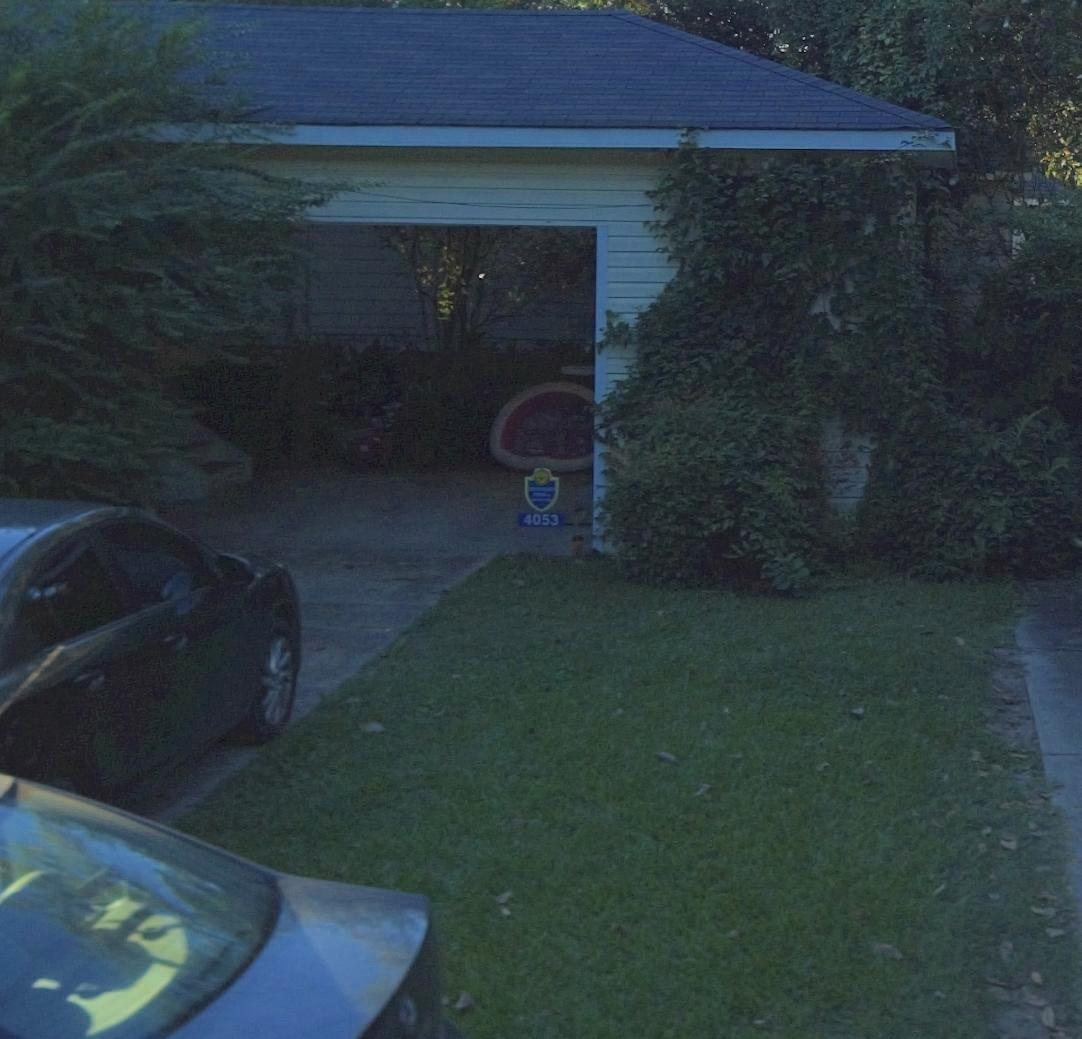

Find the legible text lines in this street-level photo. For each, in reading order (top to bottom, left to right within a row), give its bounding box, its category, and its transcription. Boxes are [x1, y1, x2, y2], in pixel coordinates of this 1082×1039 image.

[522, 511, 561, 528] StreetNumber: 4053